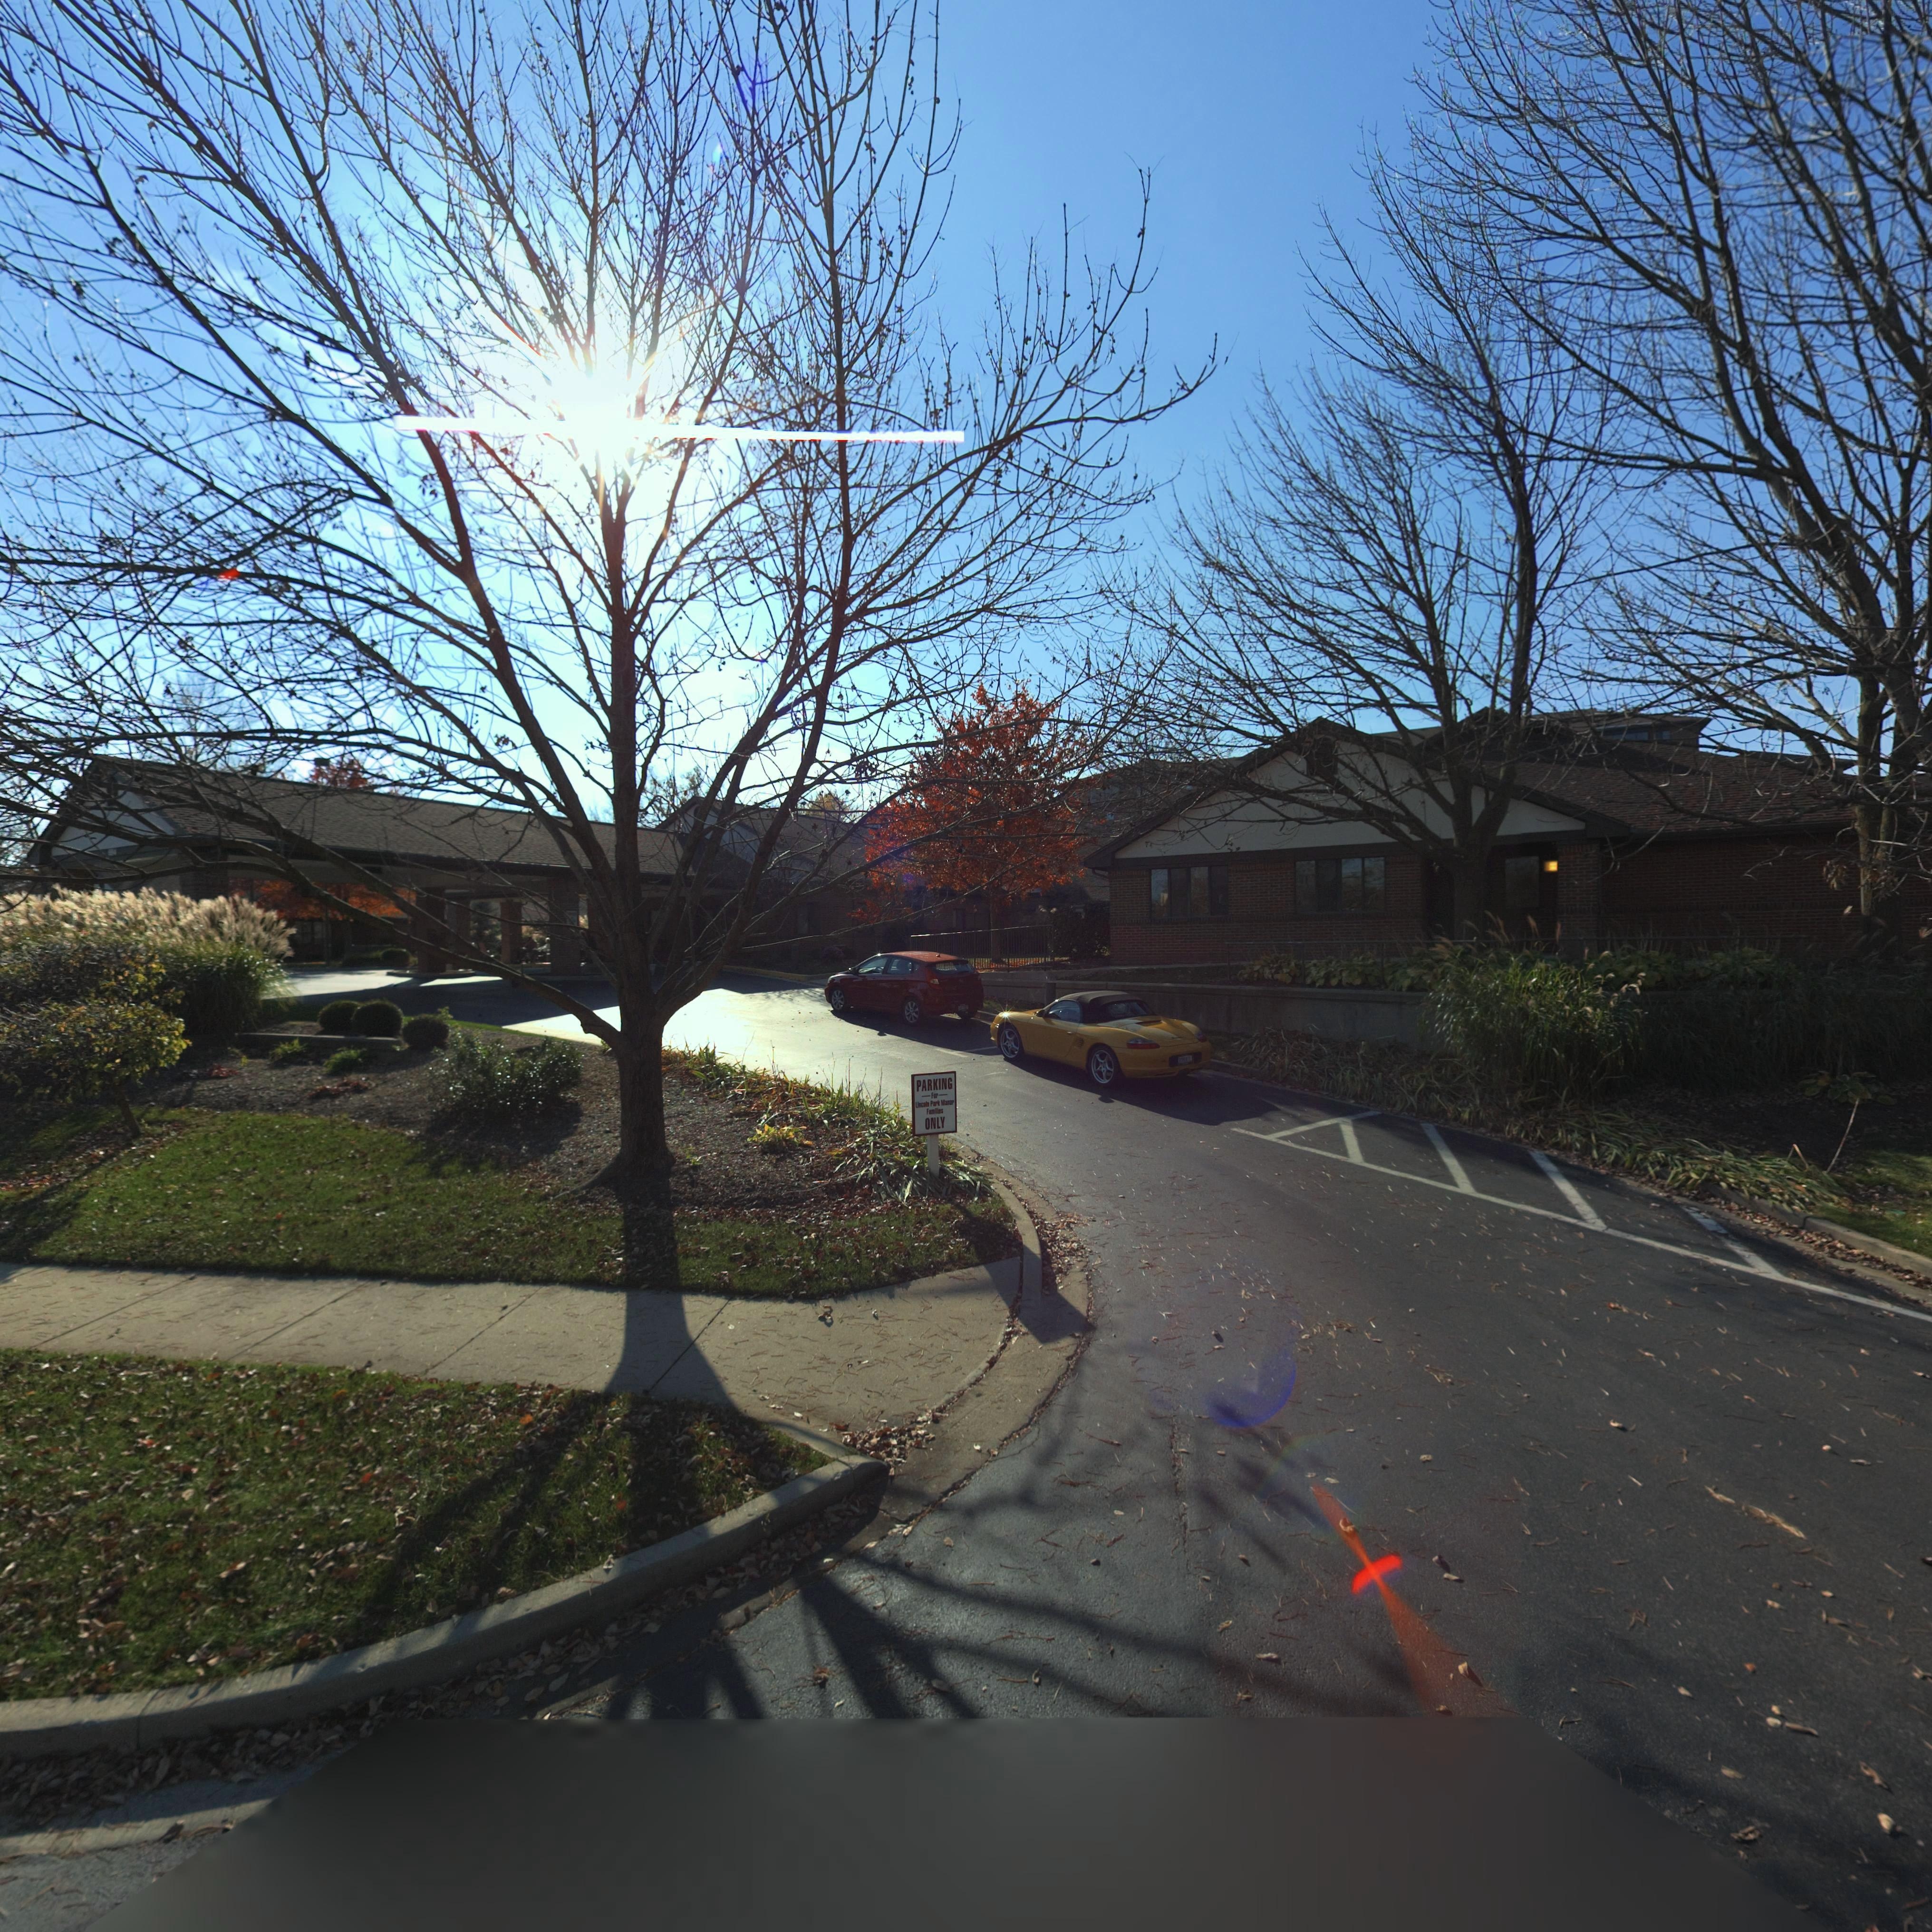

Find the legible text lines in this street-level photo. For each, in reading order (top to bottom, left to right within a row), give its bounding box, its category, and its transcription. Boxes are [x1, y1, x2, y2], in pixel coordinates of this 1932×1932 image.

[107, 849, 118, 857] StreetNumber: **4